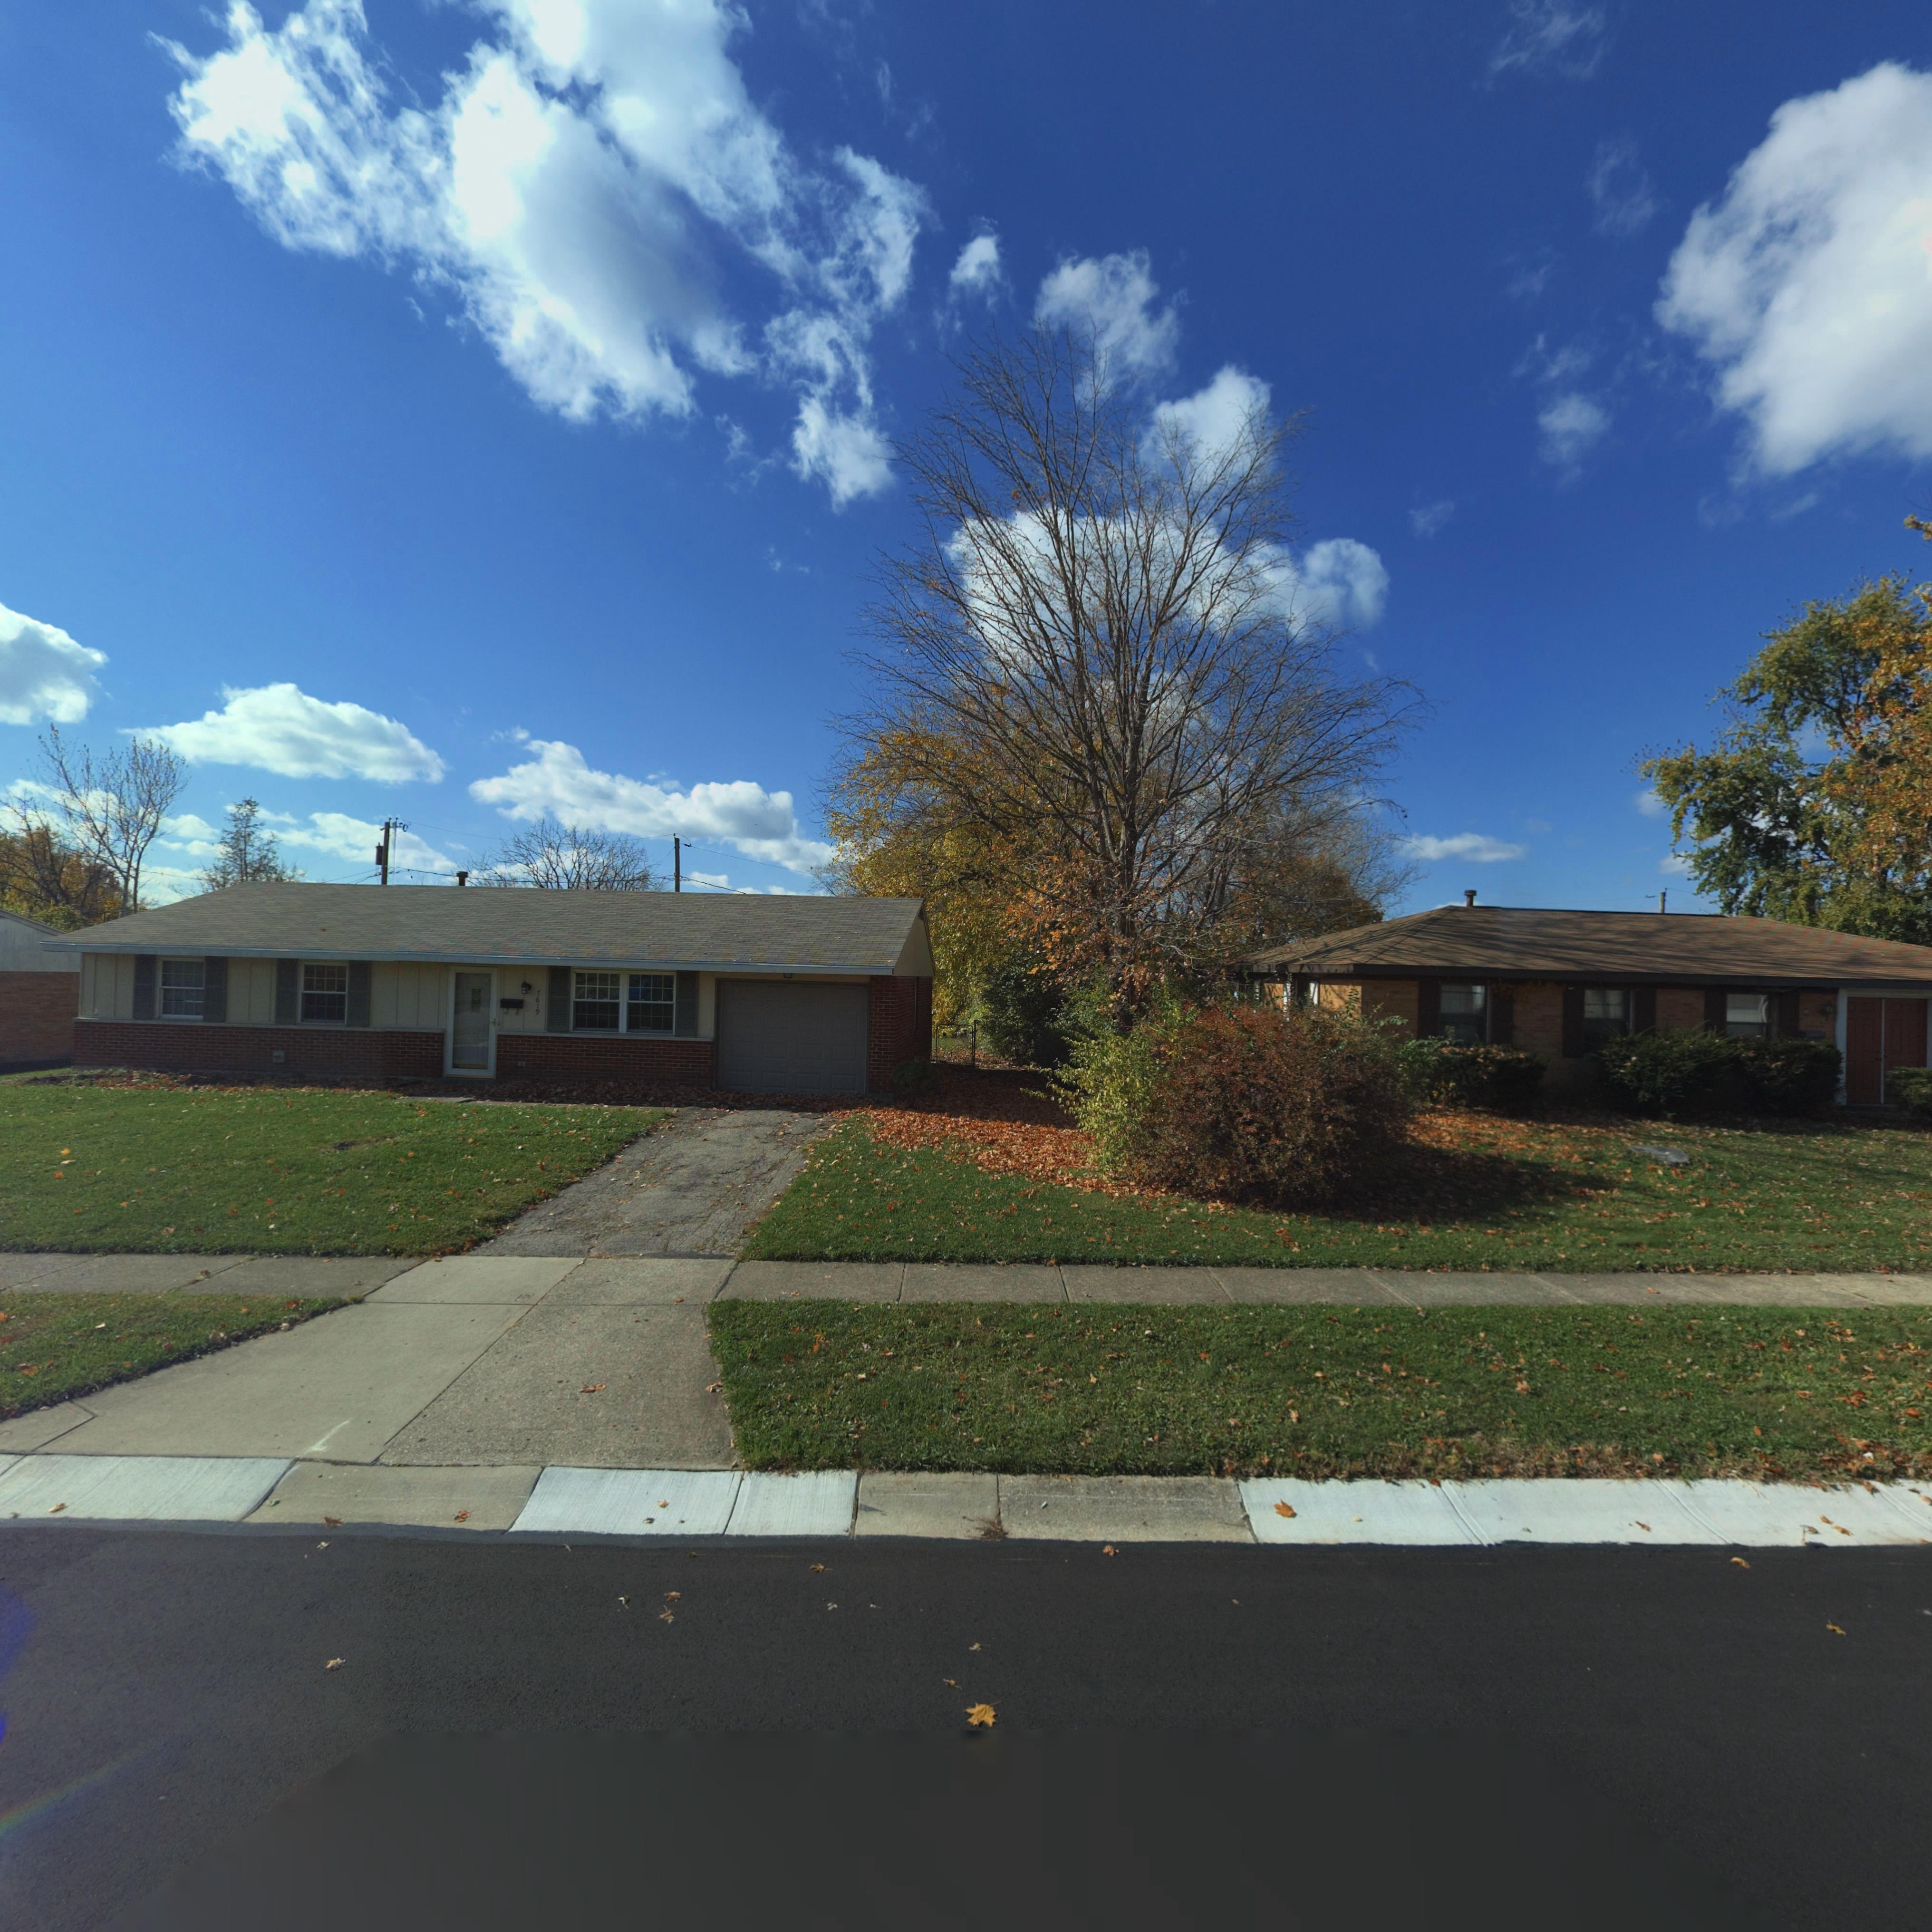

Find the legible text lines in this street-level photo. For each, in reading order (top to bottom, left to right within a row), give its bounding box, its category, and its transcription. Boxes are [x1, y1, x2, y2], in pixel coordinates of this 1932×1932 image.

[534, 989, 541, 1016] StreetNumber: 7619